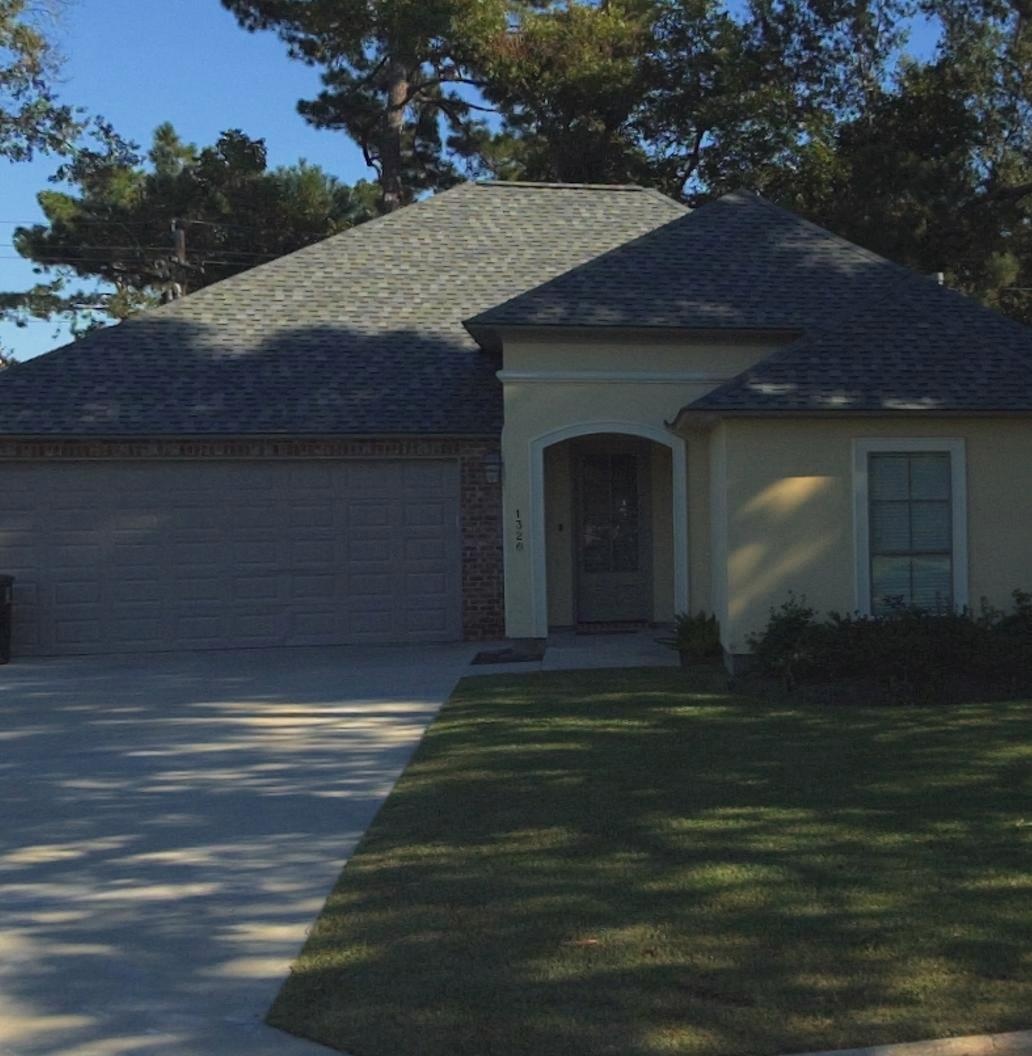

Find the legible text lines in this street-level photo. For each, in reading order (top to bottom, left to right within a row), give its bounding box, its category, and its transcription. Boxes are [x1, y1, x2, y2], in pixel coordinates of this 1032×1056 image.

[515, 509, 524, 551] StreetNumber: 1326